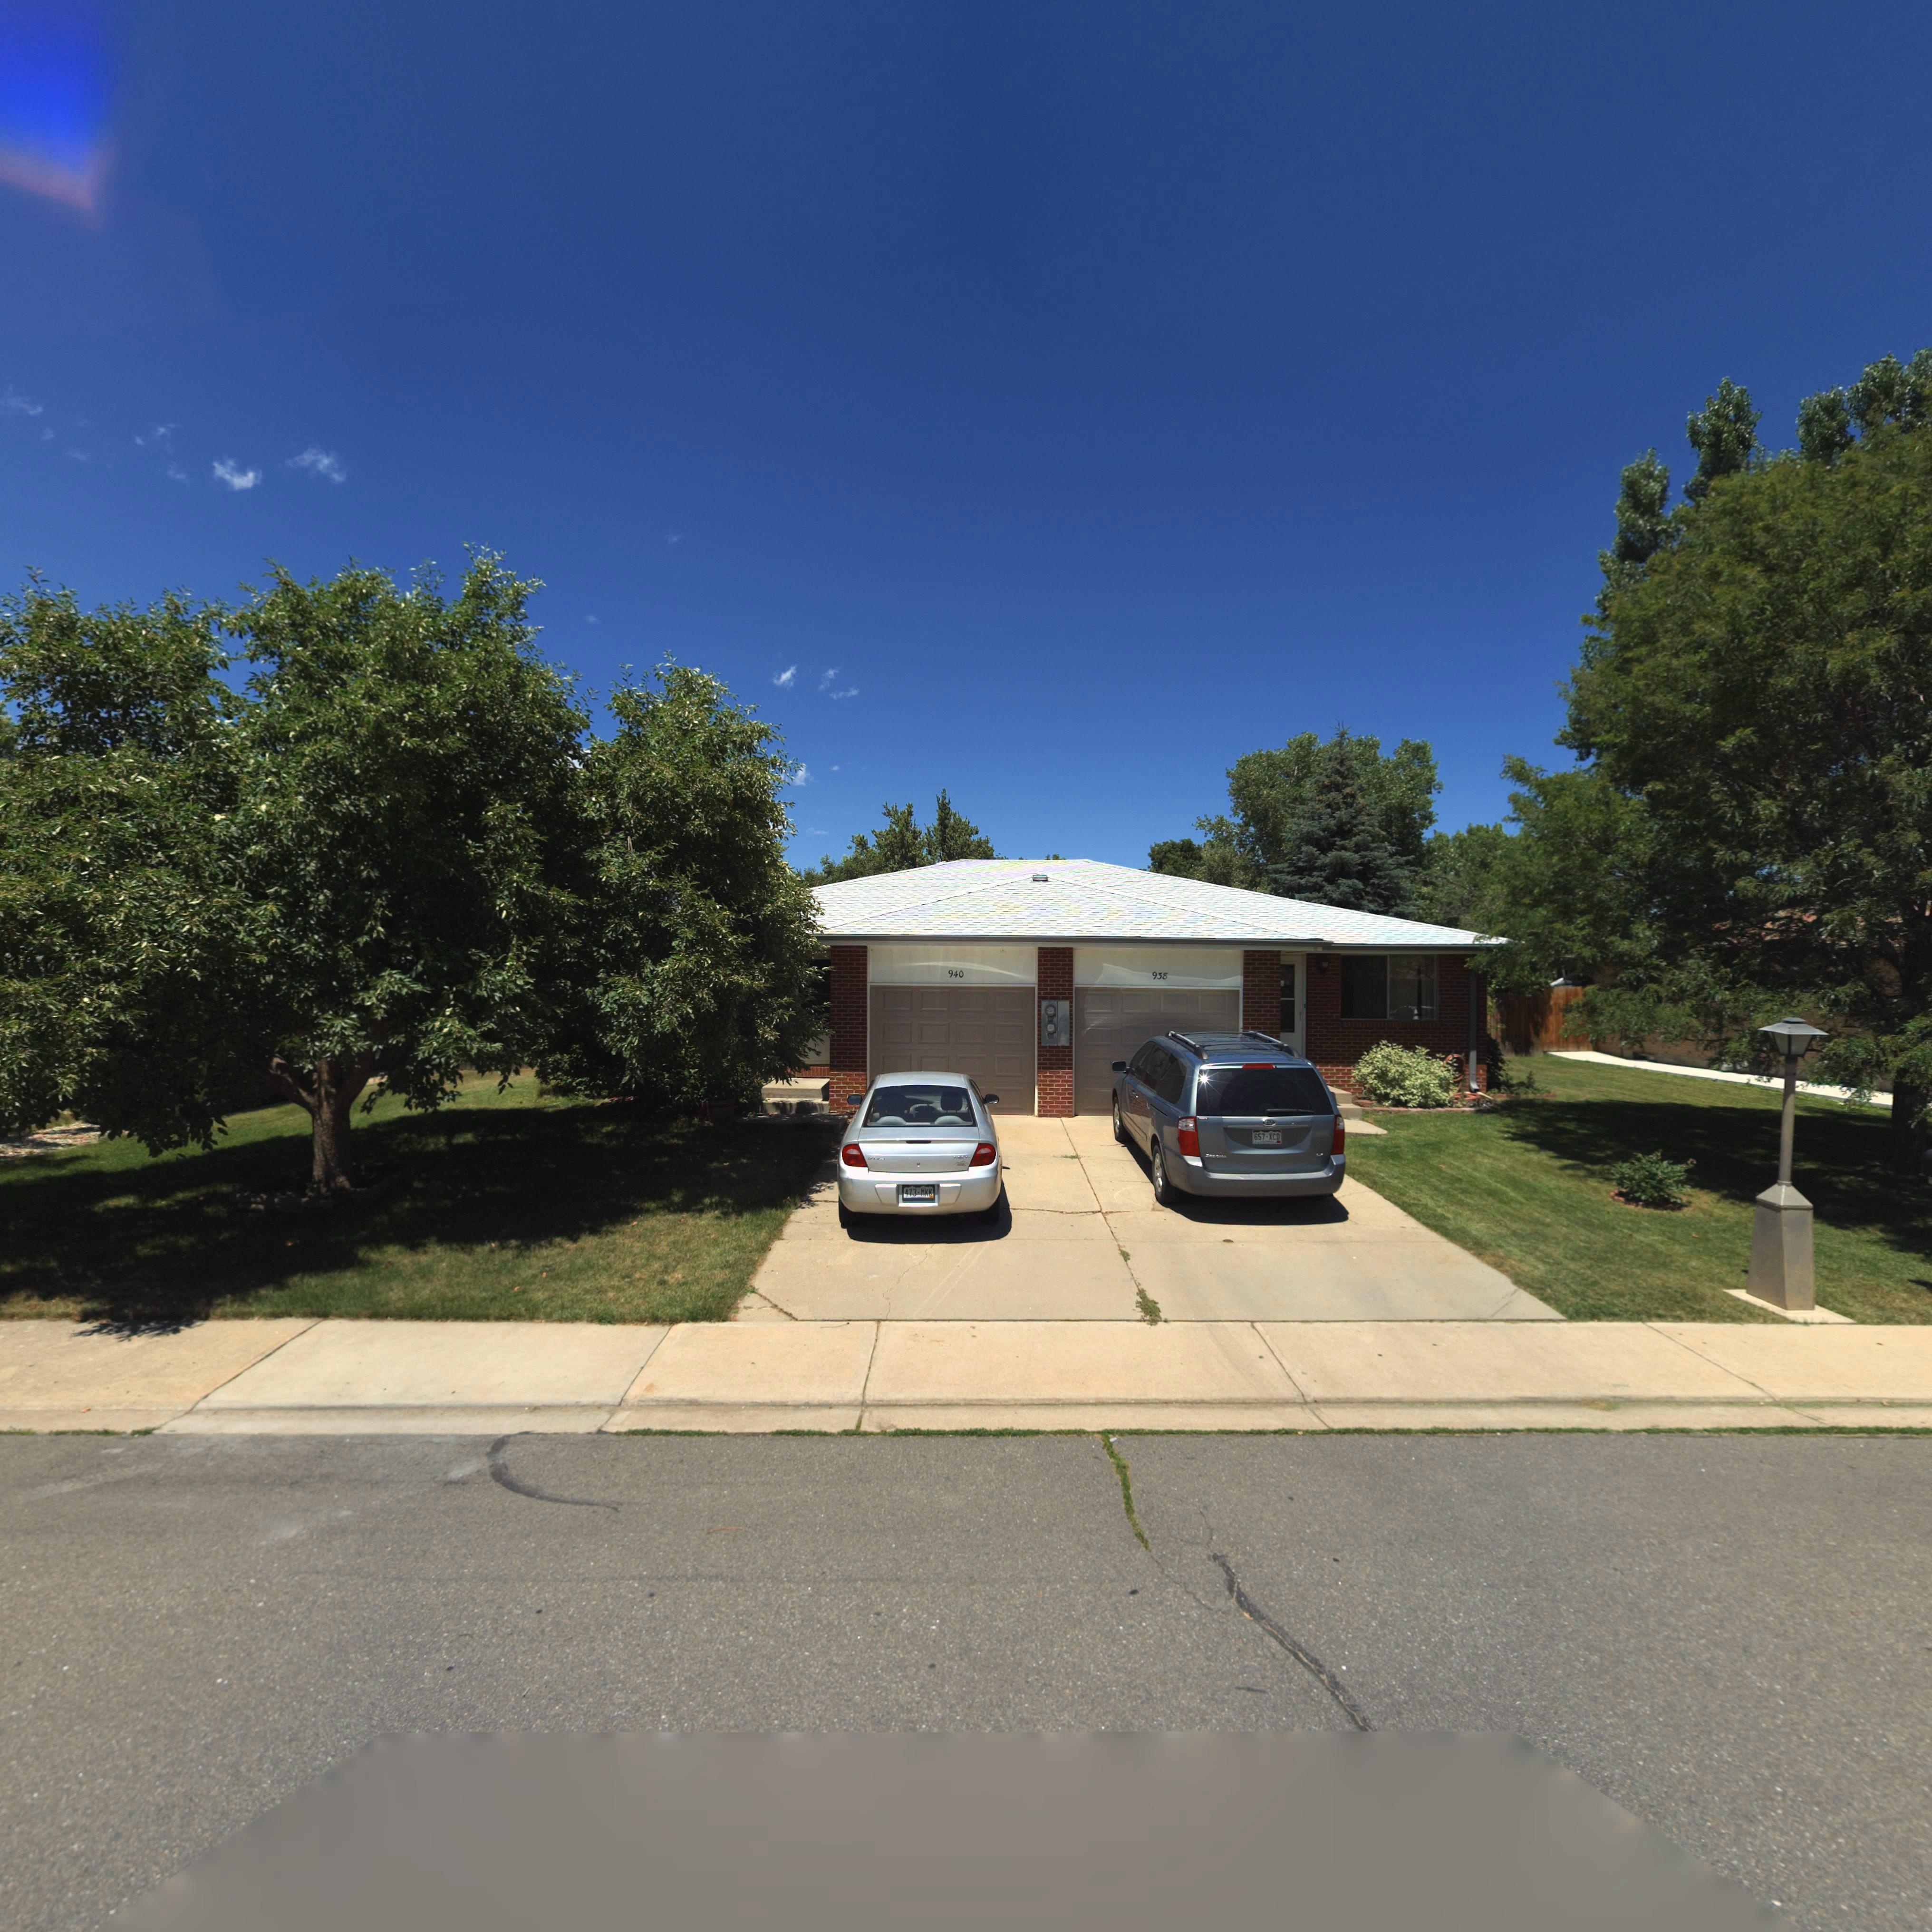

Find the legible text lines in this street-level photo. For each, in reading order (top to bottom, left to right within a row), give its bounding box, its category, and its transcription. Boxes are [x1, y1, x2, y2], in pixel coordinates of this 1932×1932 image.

[948, 969, 964, 978] StreetNumber: 940
[1152, 971, 1168, 980] StreetNumber: 938